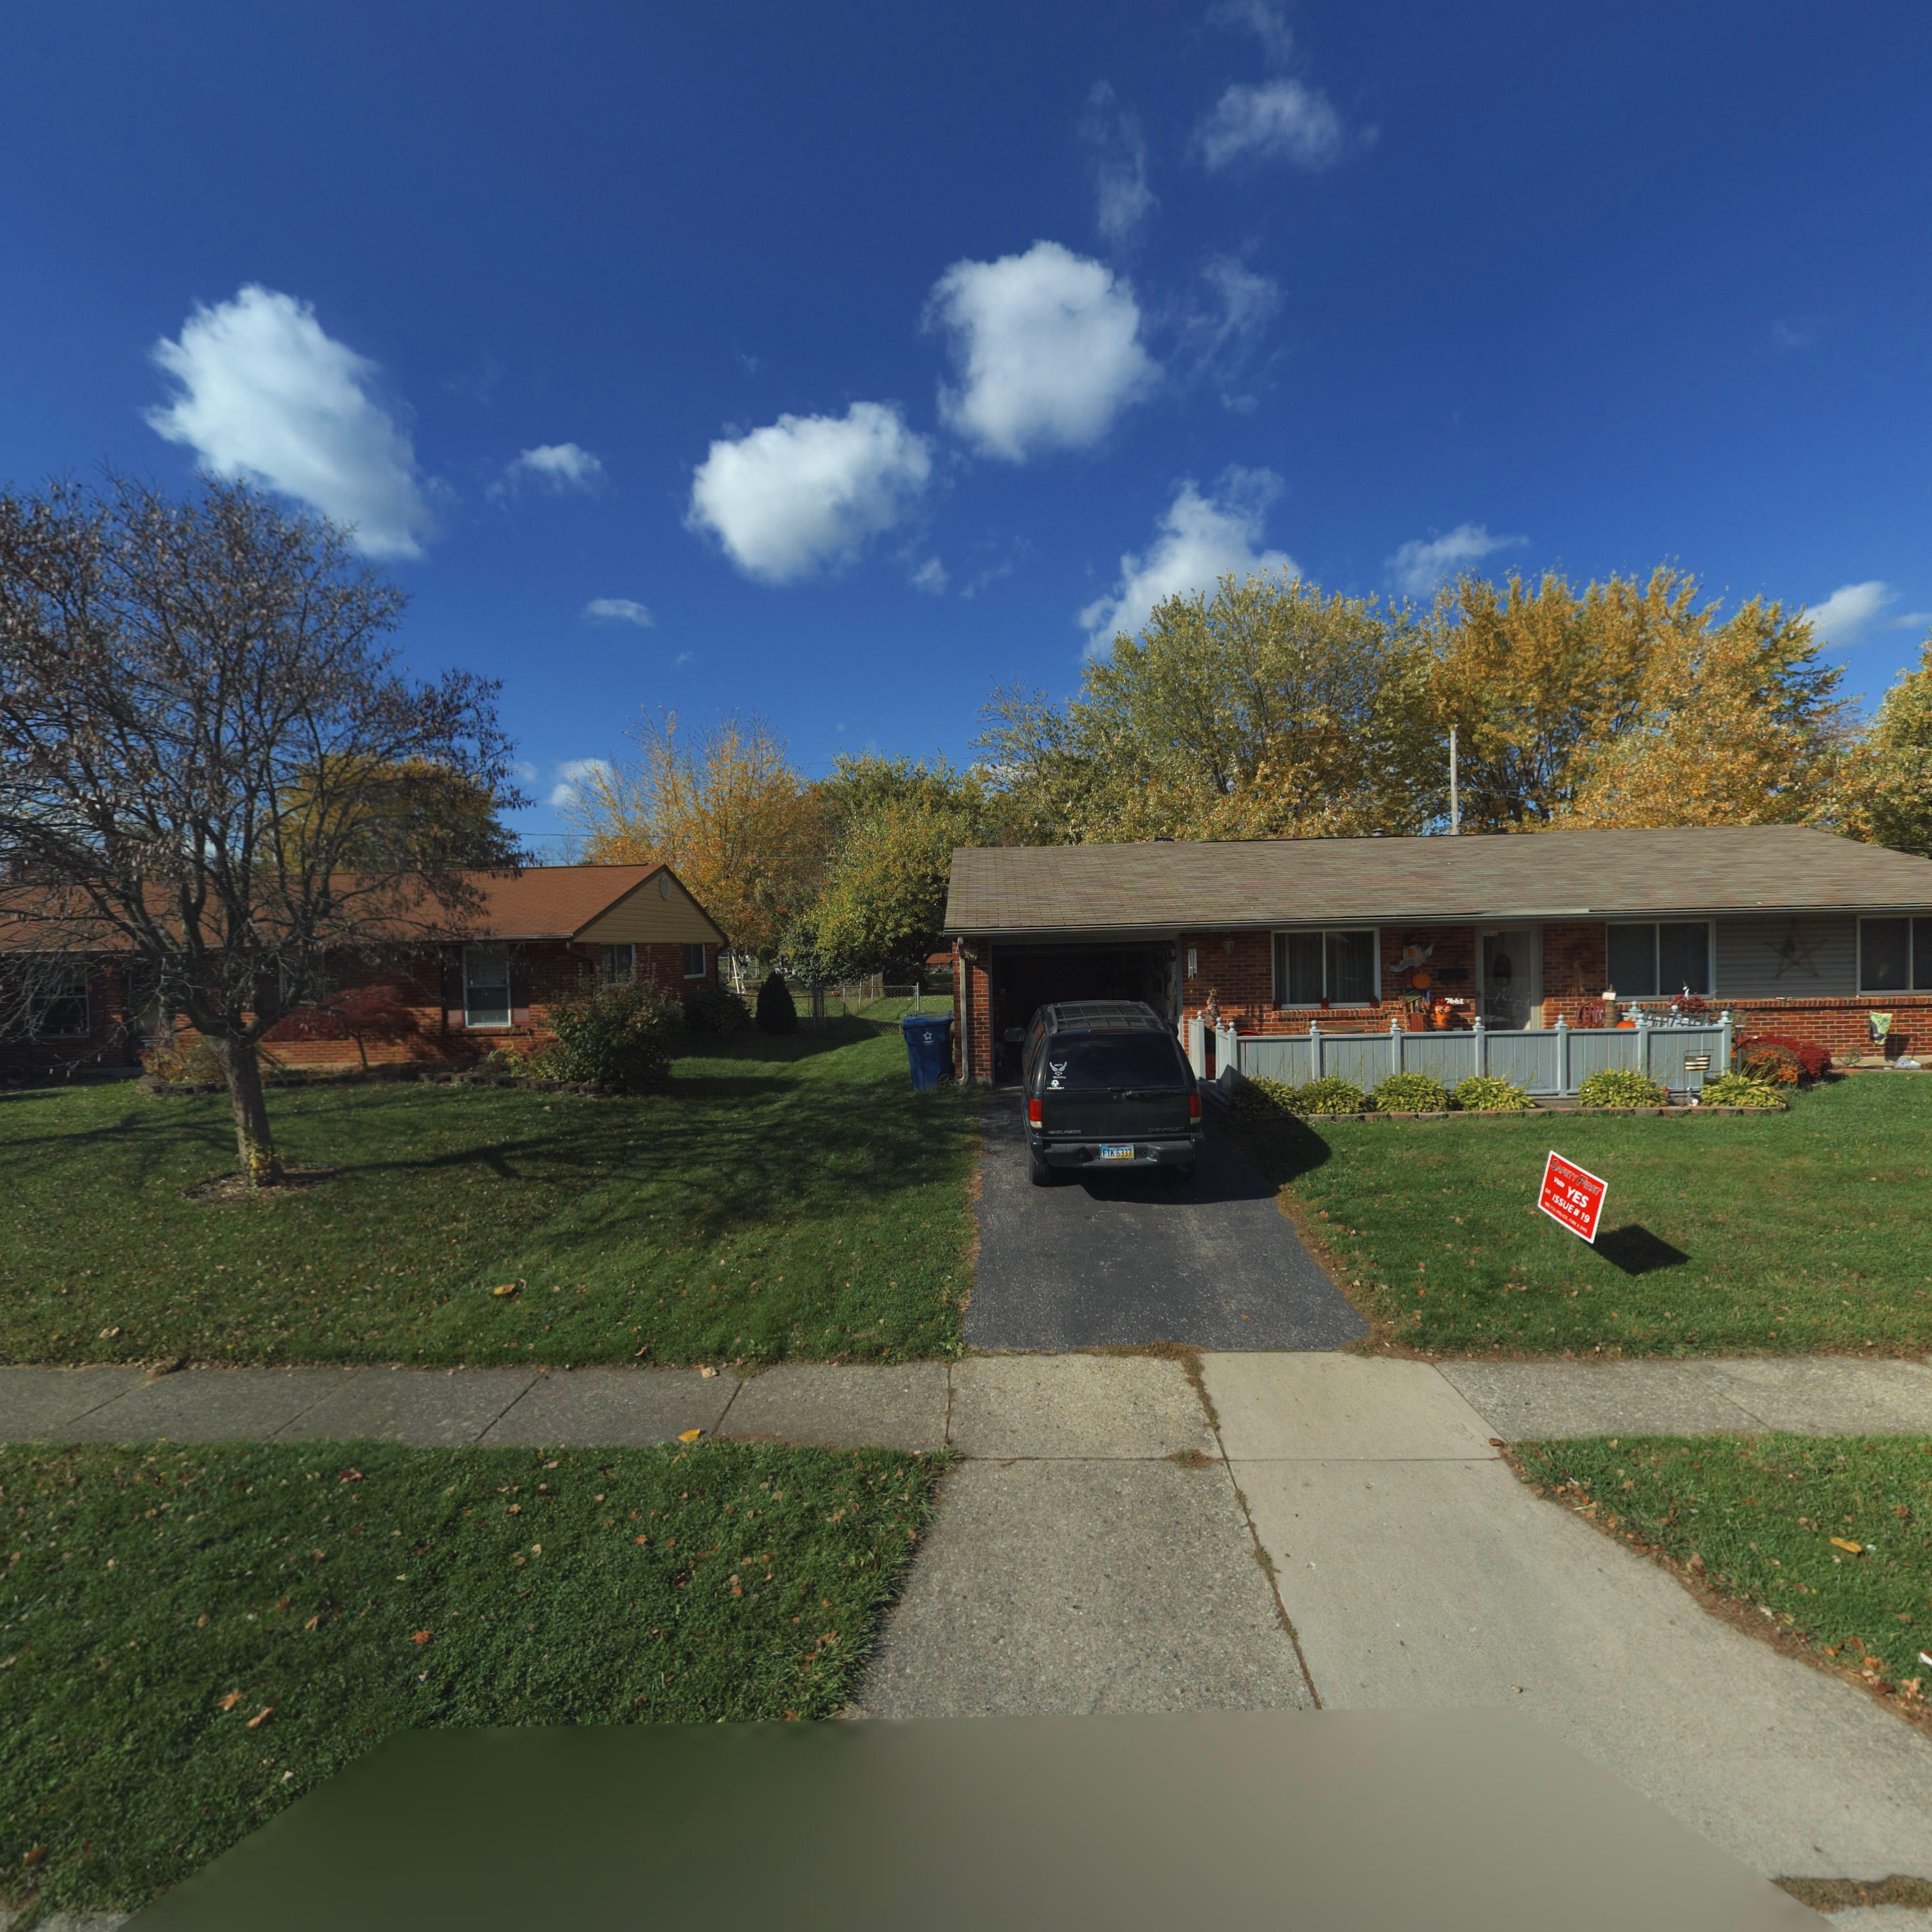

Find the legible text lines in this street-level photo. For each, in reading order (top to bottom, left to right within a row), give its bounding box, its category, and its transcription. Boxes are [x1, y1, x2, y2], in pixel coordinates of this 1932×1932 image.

[1444, 997, 1465, 1005] StreetNumber: 7661